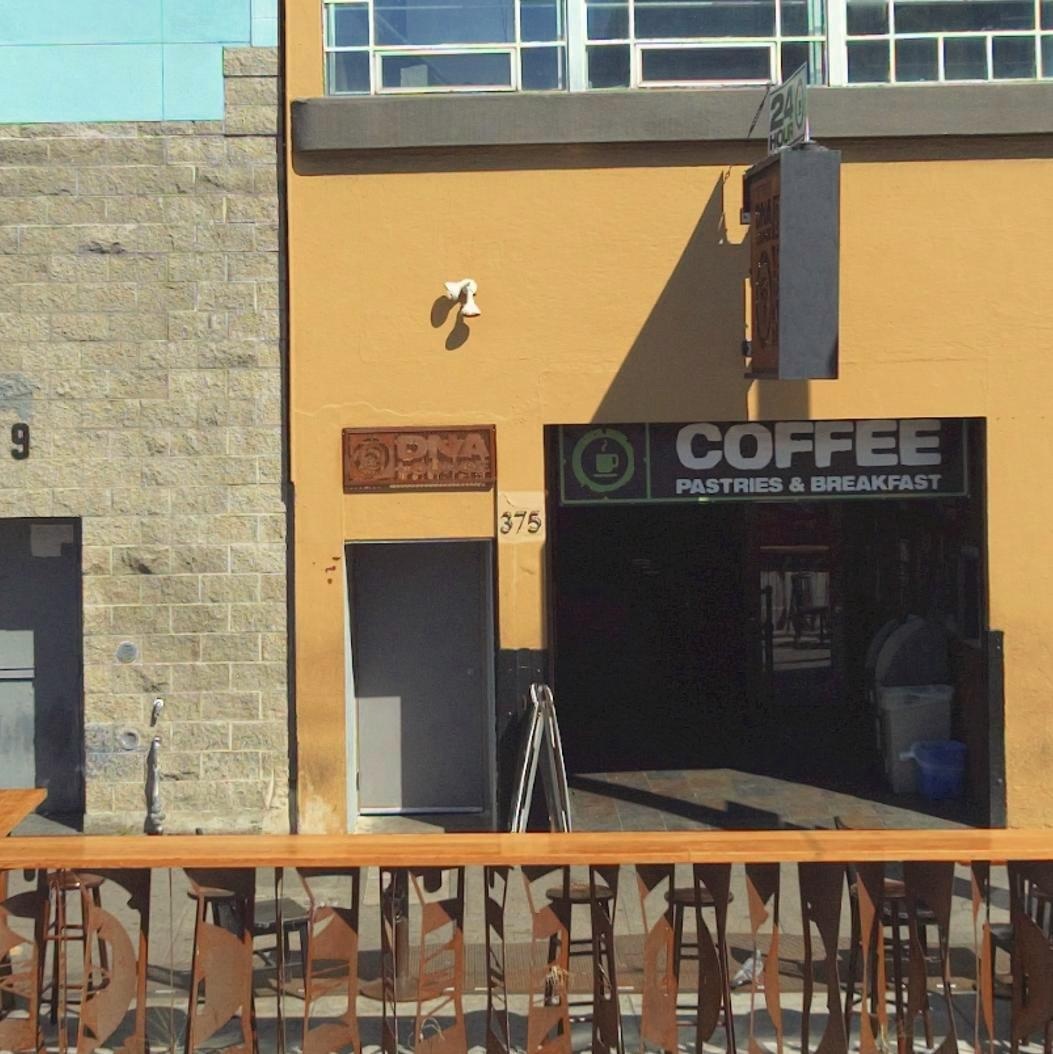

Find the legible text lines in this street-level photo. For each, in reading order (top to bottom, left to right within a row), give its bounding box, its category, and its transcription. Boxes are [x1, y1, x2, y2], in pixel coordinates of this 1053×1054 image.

[768, 81, 796, 137] None: 24
[767, 120, 792, 157] None: HOU
[8, 418, 33, 464] StreetNumber: 9
[391, 428, 498, 466] BusinessName: DNA
[672, 415, 948, 474] None: COFFEE
[388, 465, 456, 485] BusinessName: LOUN
[672, 469, 946, 499] None: PASTRIES & BREAKFAST
[497, 507, 545, 538] StreetNumber: 375